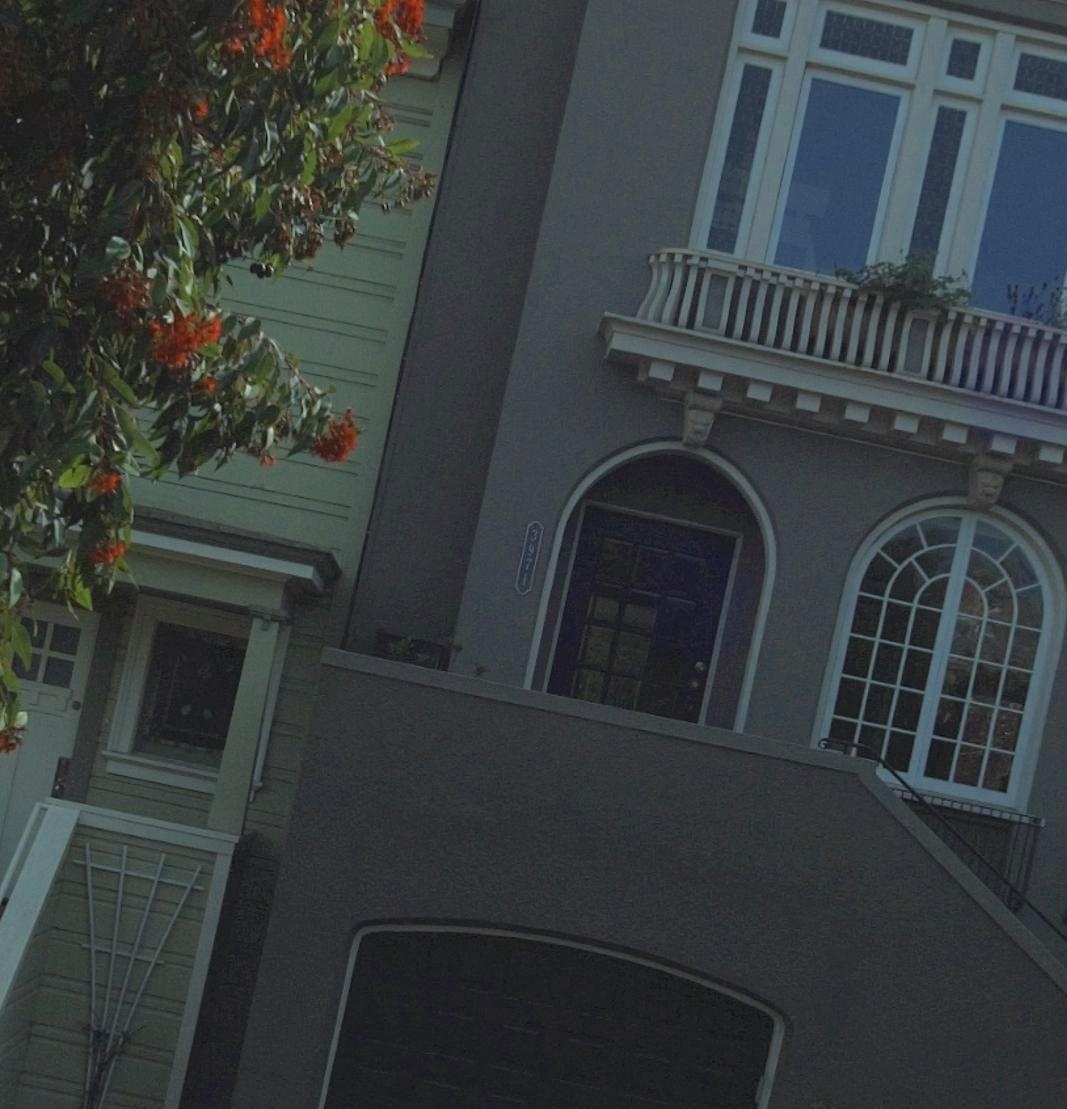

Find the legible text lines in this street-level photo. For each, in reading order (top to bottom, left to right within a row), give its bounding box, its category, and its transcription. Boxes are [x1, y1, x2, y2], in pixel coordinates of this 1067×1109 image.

[519, 528, 540, 589] StreetNumber: 3971